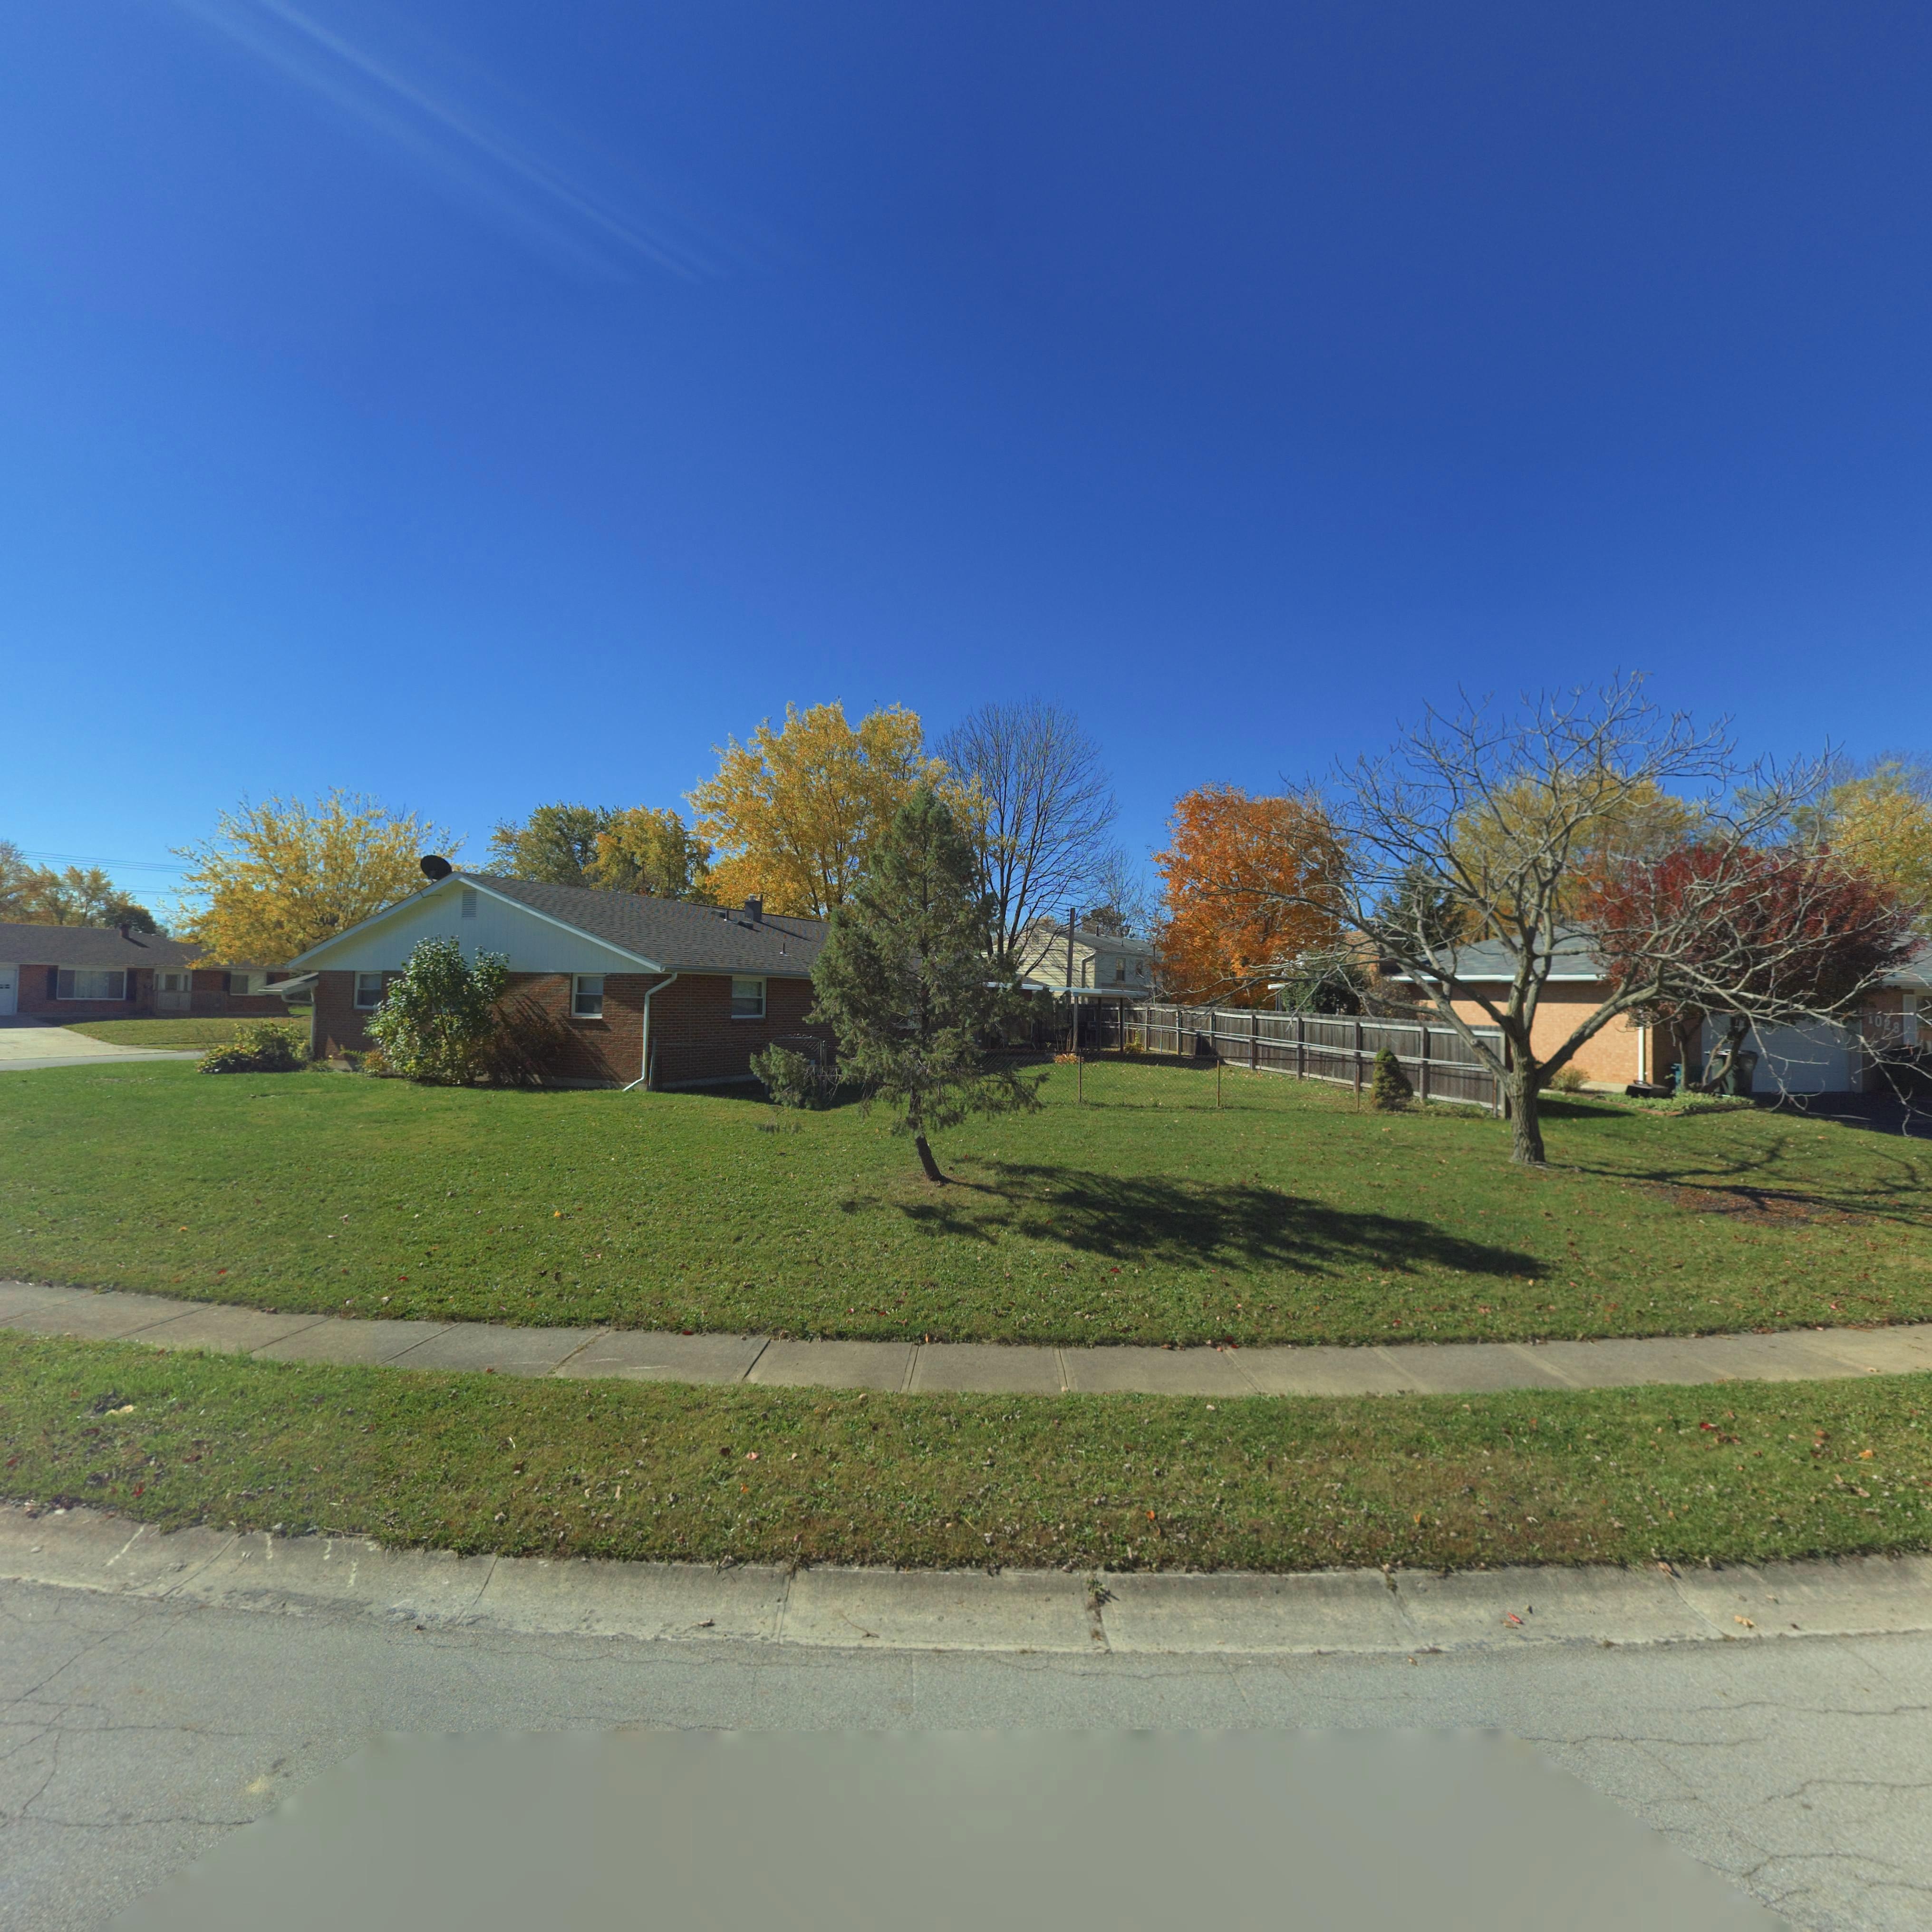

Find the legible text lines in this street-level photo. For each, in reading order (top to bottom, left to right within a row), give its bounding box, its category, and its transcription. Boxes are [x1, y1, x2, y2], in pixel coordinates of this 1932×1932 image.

[1867, 1012, 1900, 1034] StreetNumber: 1028